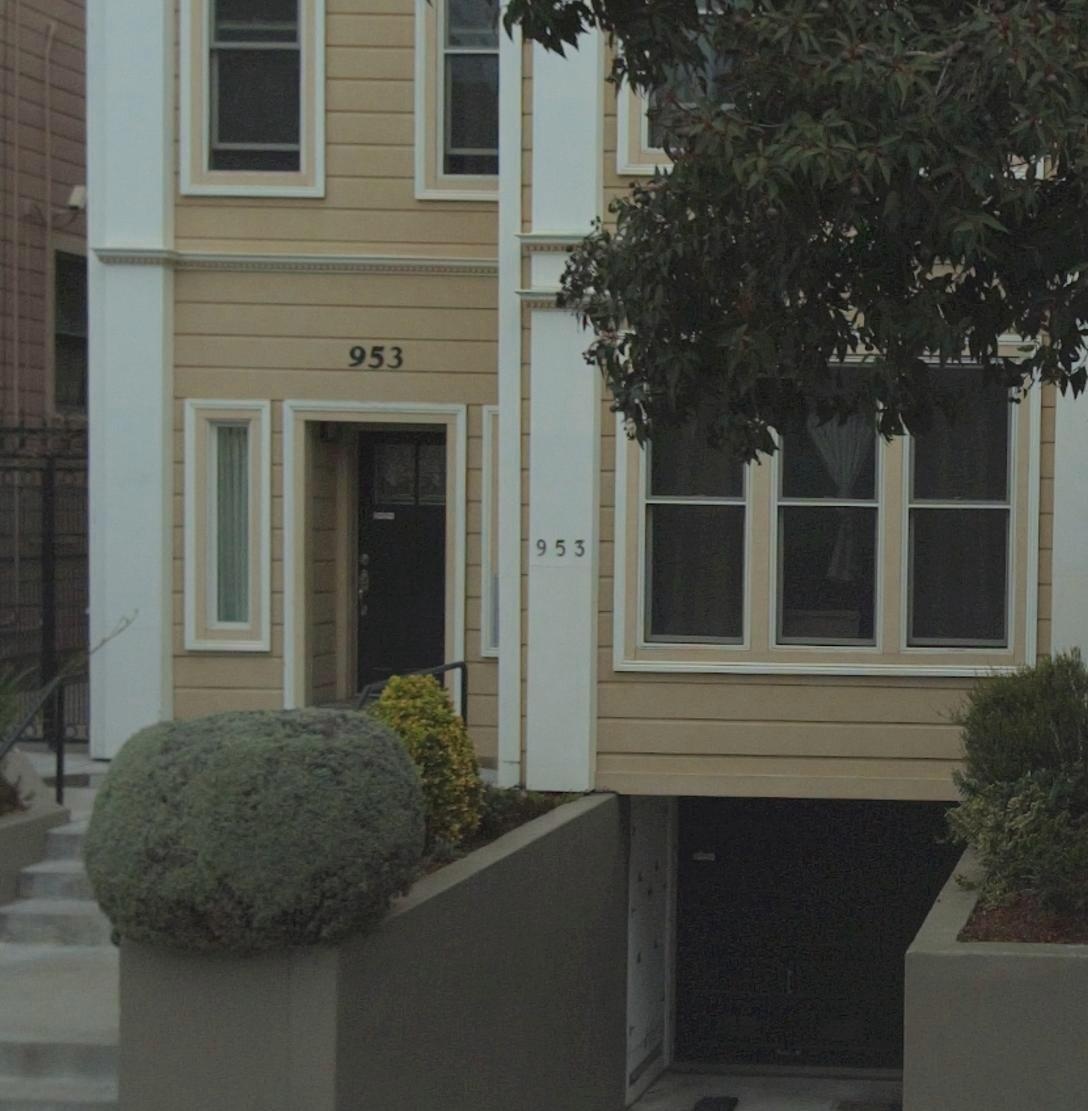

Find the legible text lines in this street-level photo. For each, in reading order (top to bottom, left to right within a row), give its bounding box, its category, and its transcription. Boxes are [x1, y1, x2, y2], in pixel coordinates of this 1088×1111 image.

[348, 344, 405, 370] StreetNumber: 953
[535, 538, 587, 558] StreetNumber: 953